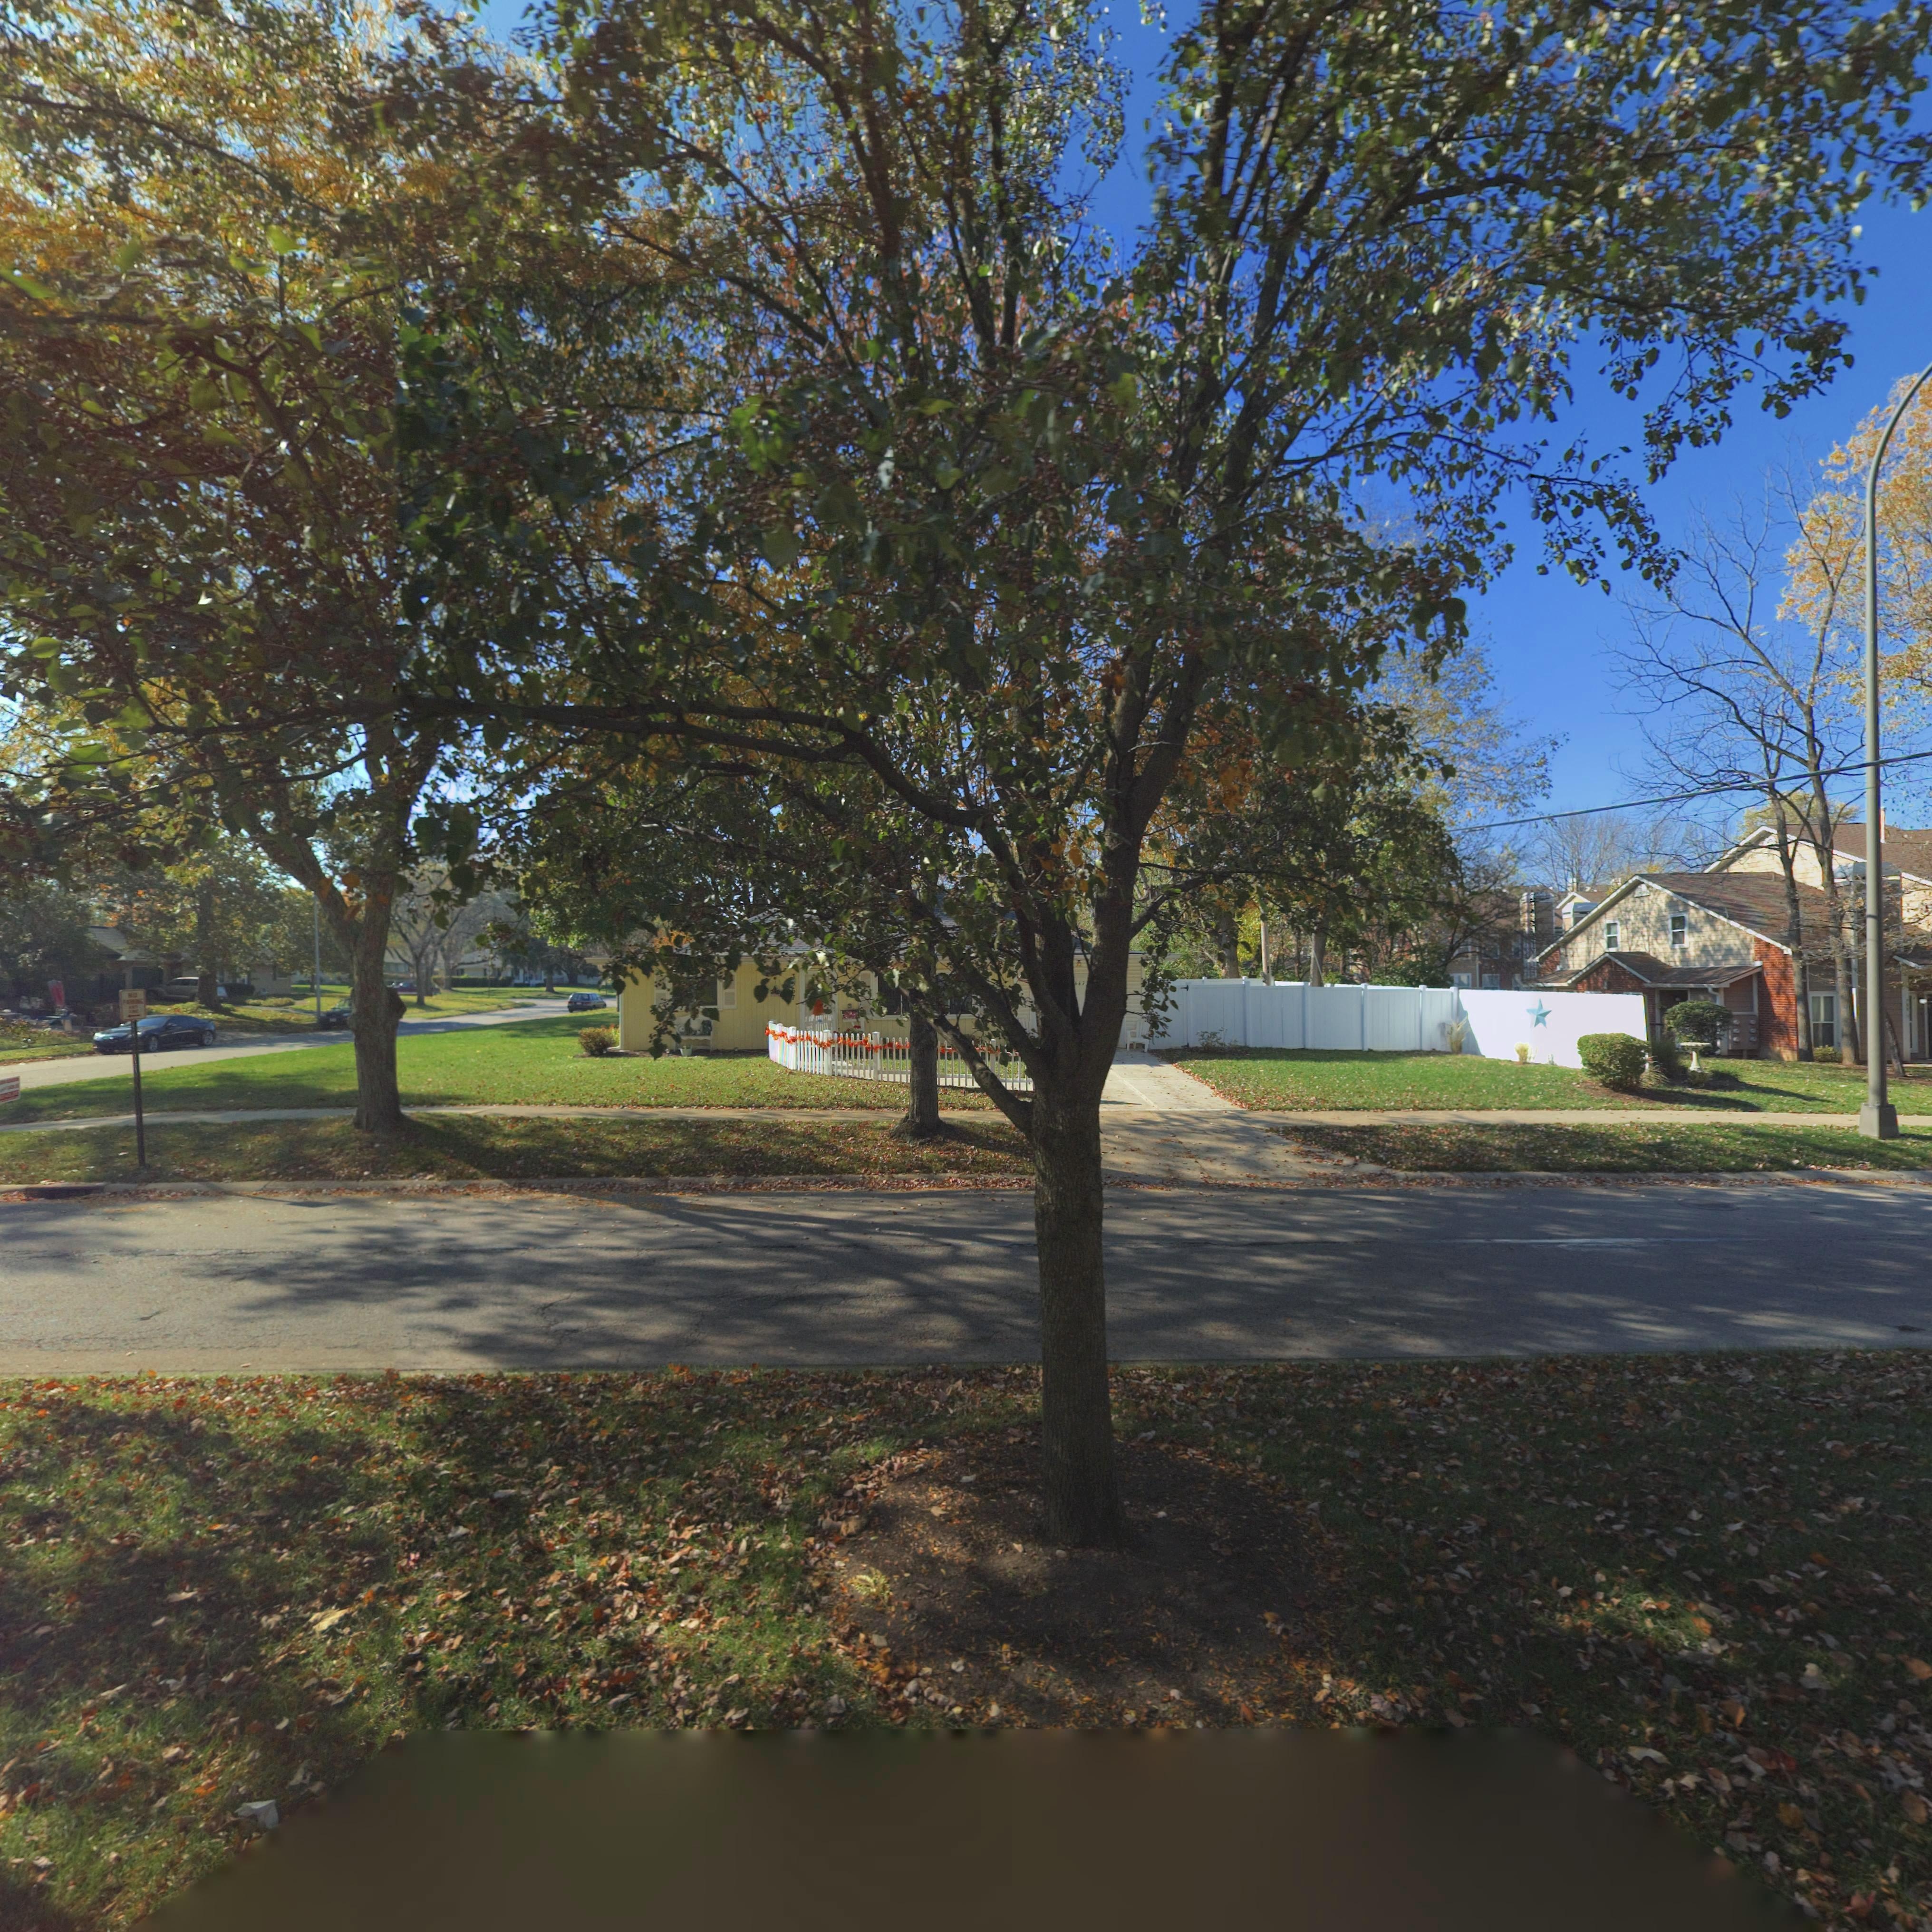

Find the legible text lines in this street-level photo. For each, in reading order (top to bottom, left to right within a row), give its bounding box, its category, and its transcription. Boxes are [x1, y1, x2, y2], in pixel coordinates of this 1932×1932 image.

[1074, 980, 1085, 986] StreetNumber: 6670
[127, 992, 136, 998] None: NO